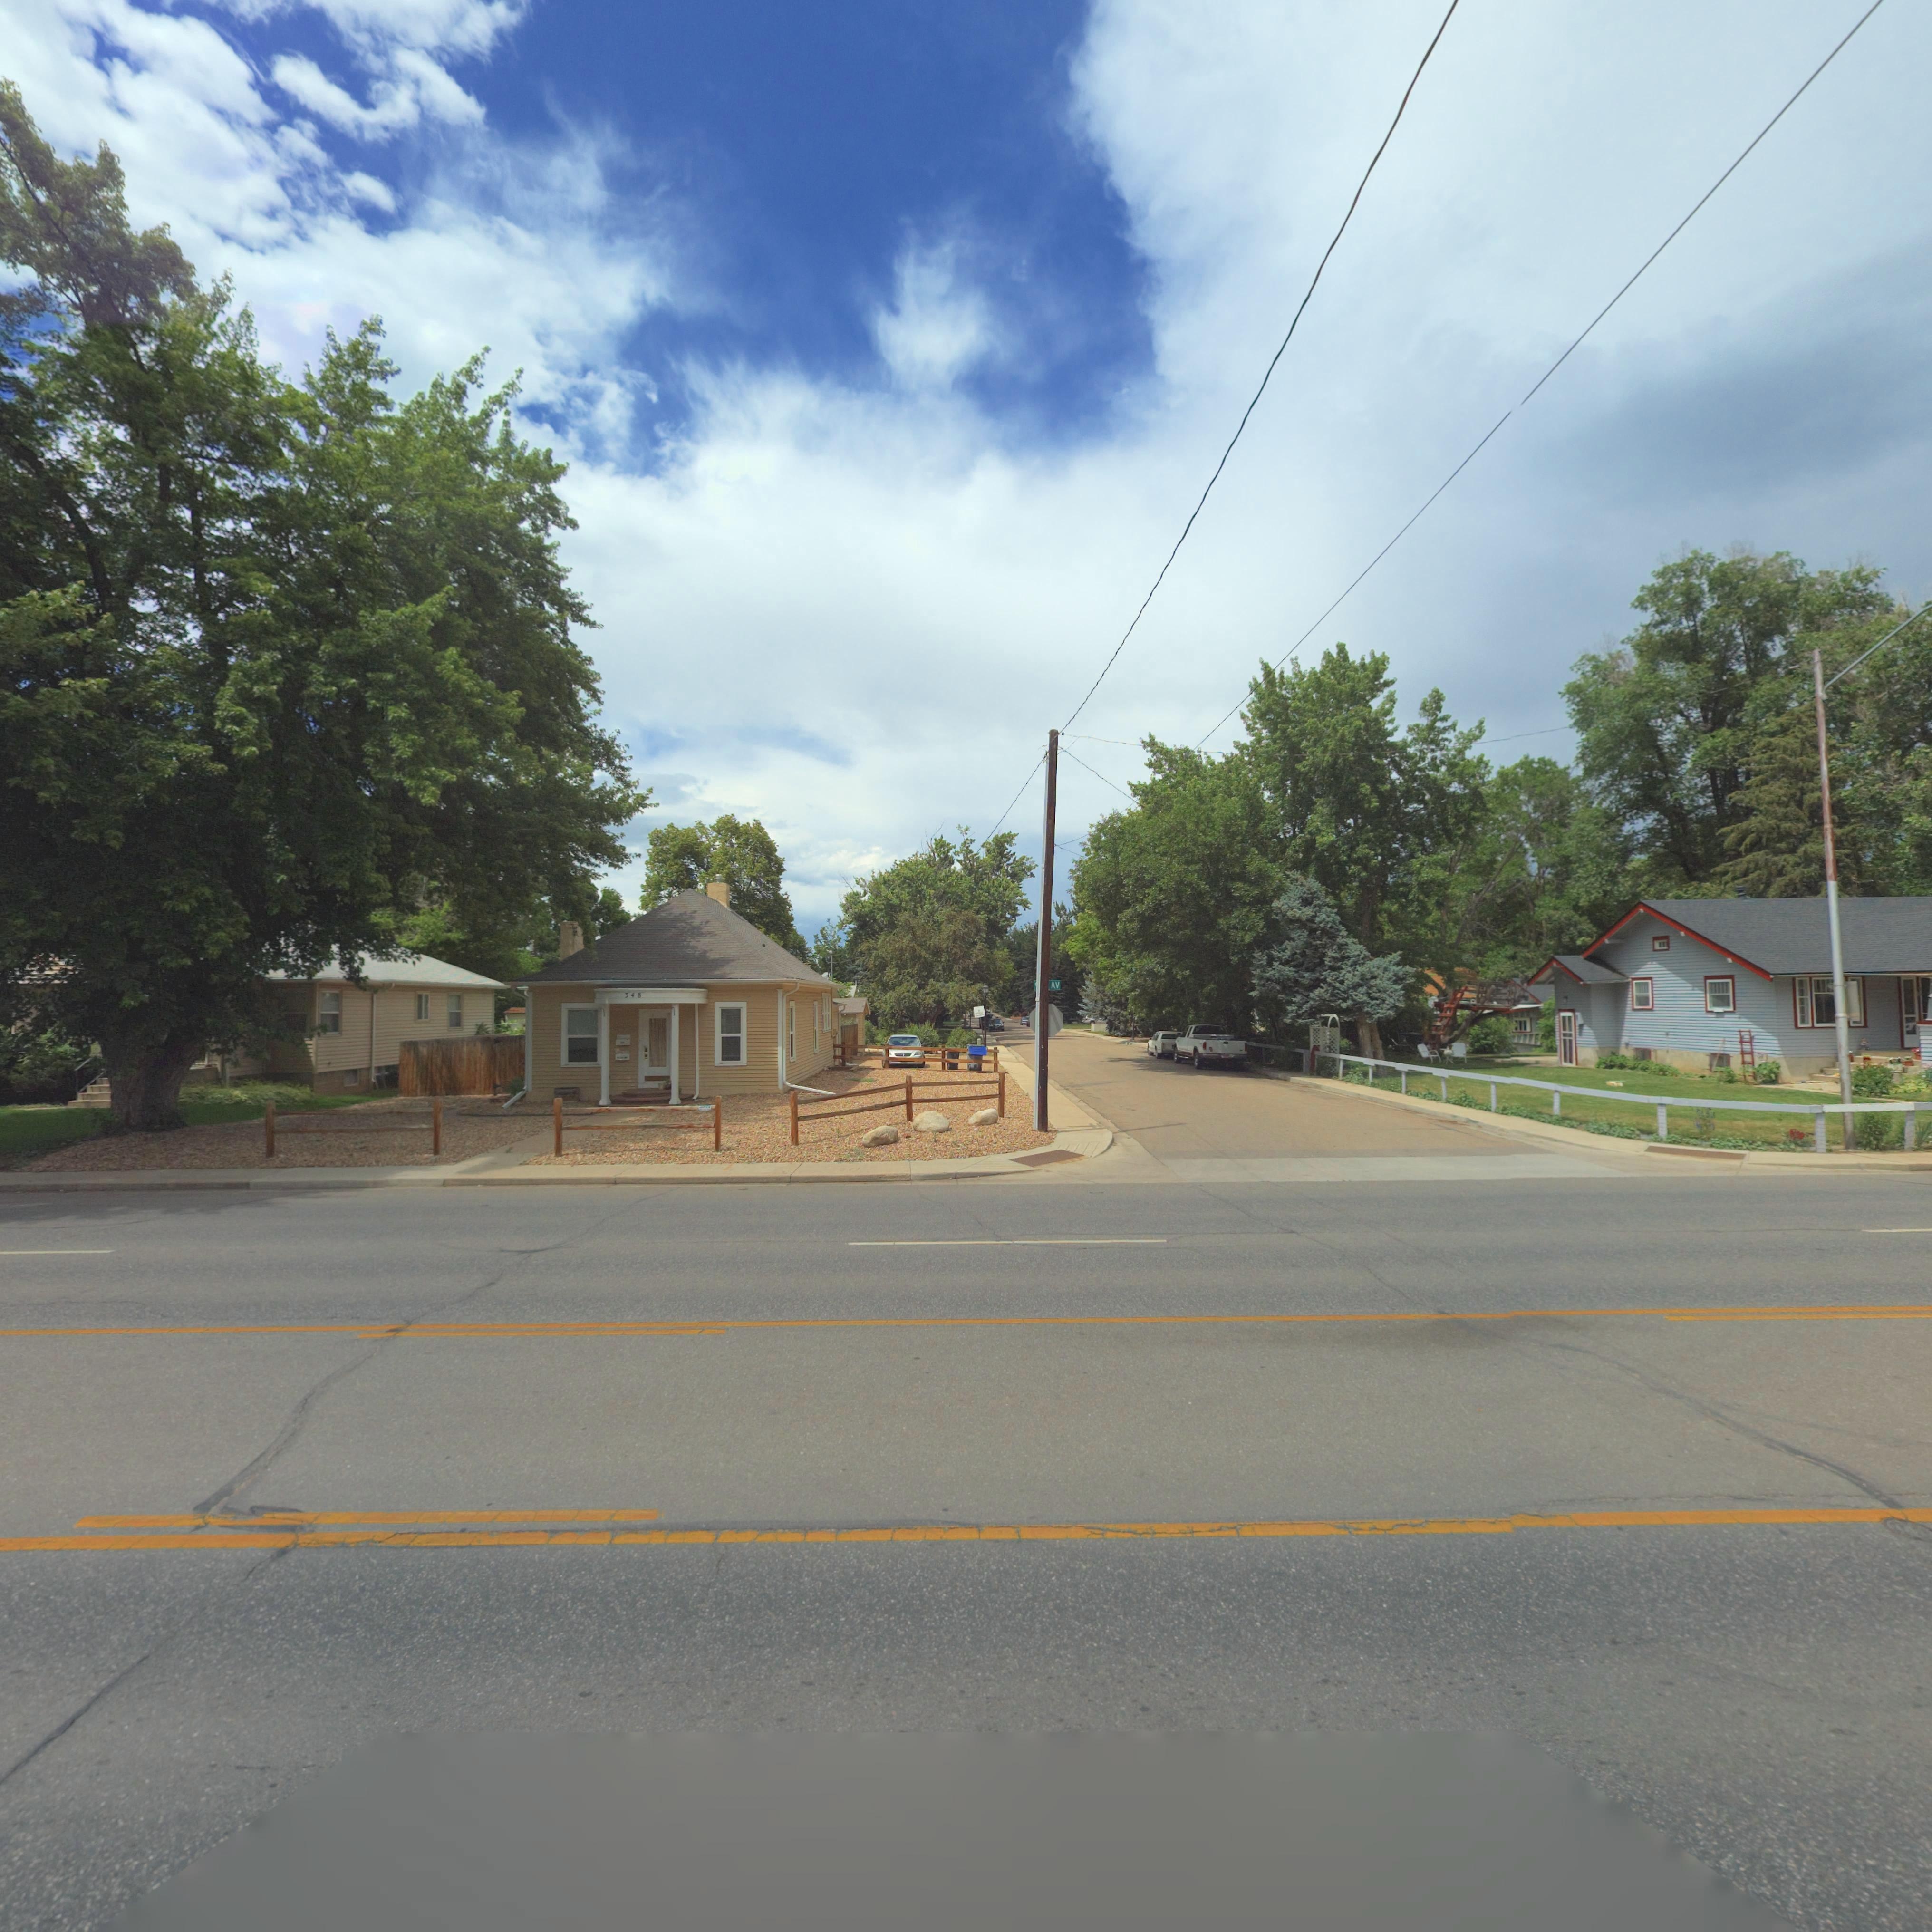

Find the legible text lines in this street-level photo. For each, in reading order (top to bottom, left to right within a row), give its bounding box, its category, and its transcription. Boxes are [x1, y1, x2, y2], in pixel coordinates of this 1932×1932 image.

[1050, 981, 1060, 989] StreetName: AV
[624, 992, 641, 998] StreetNumber: 348